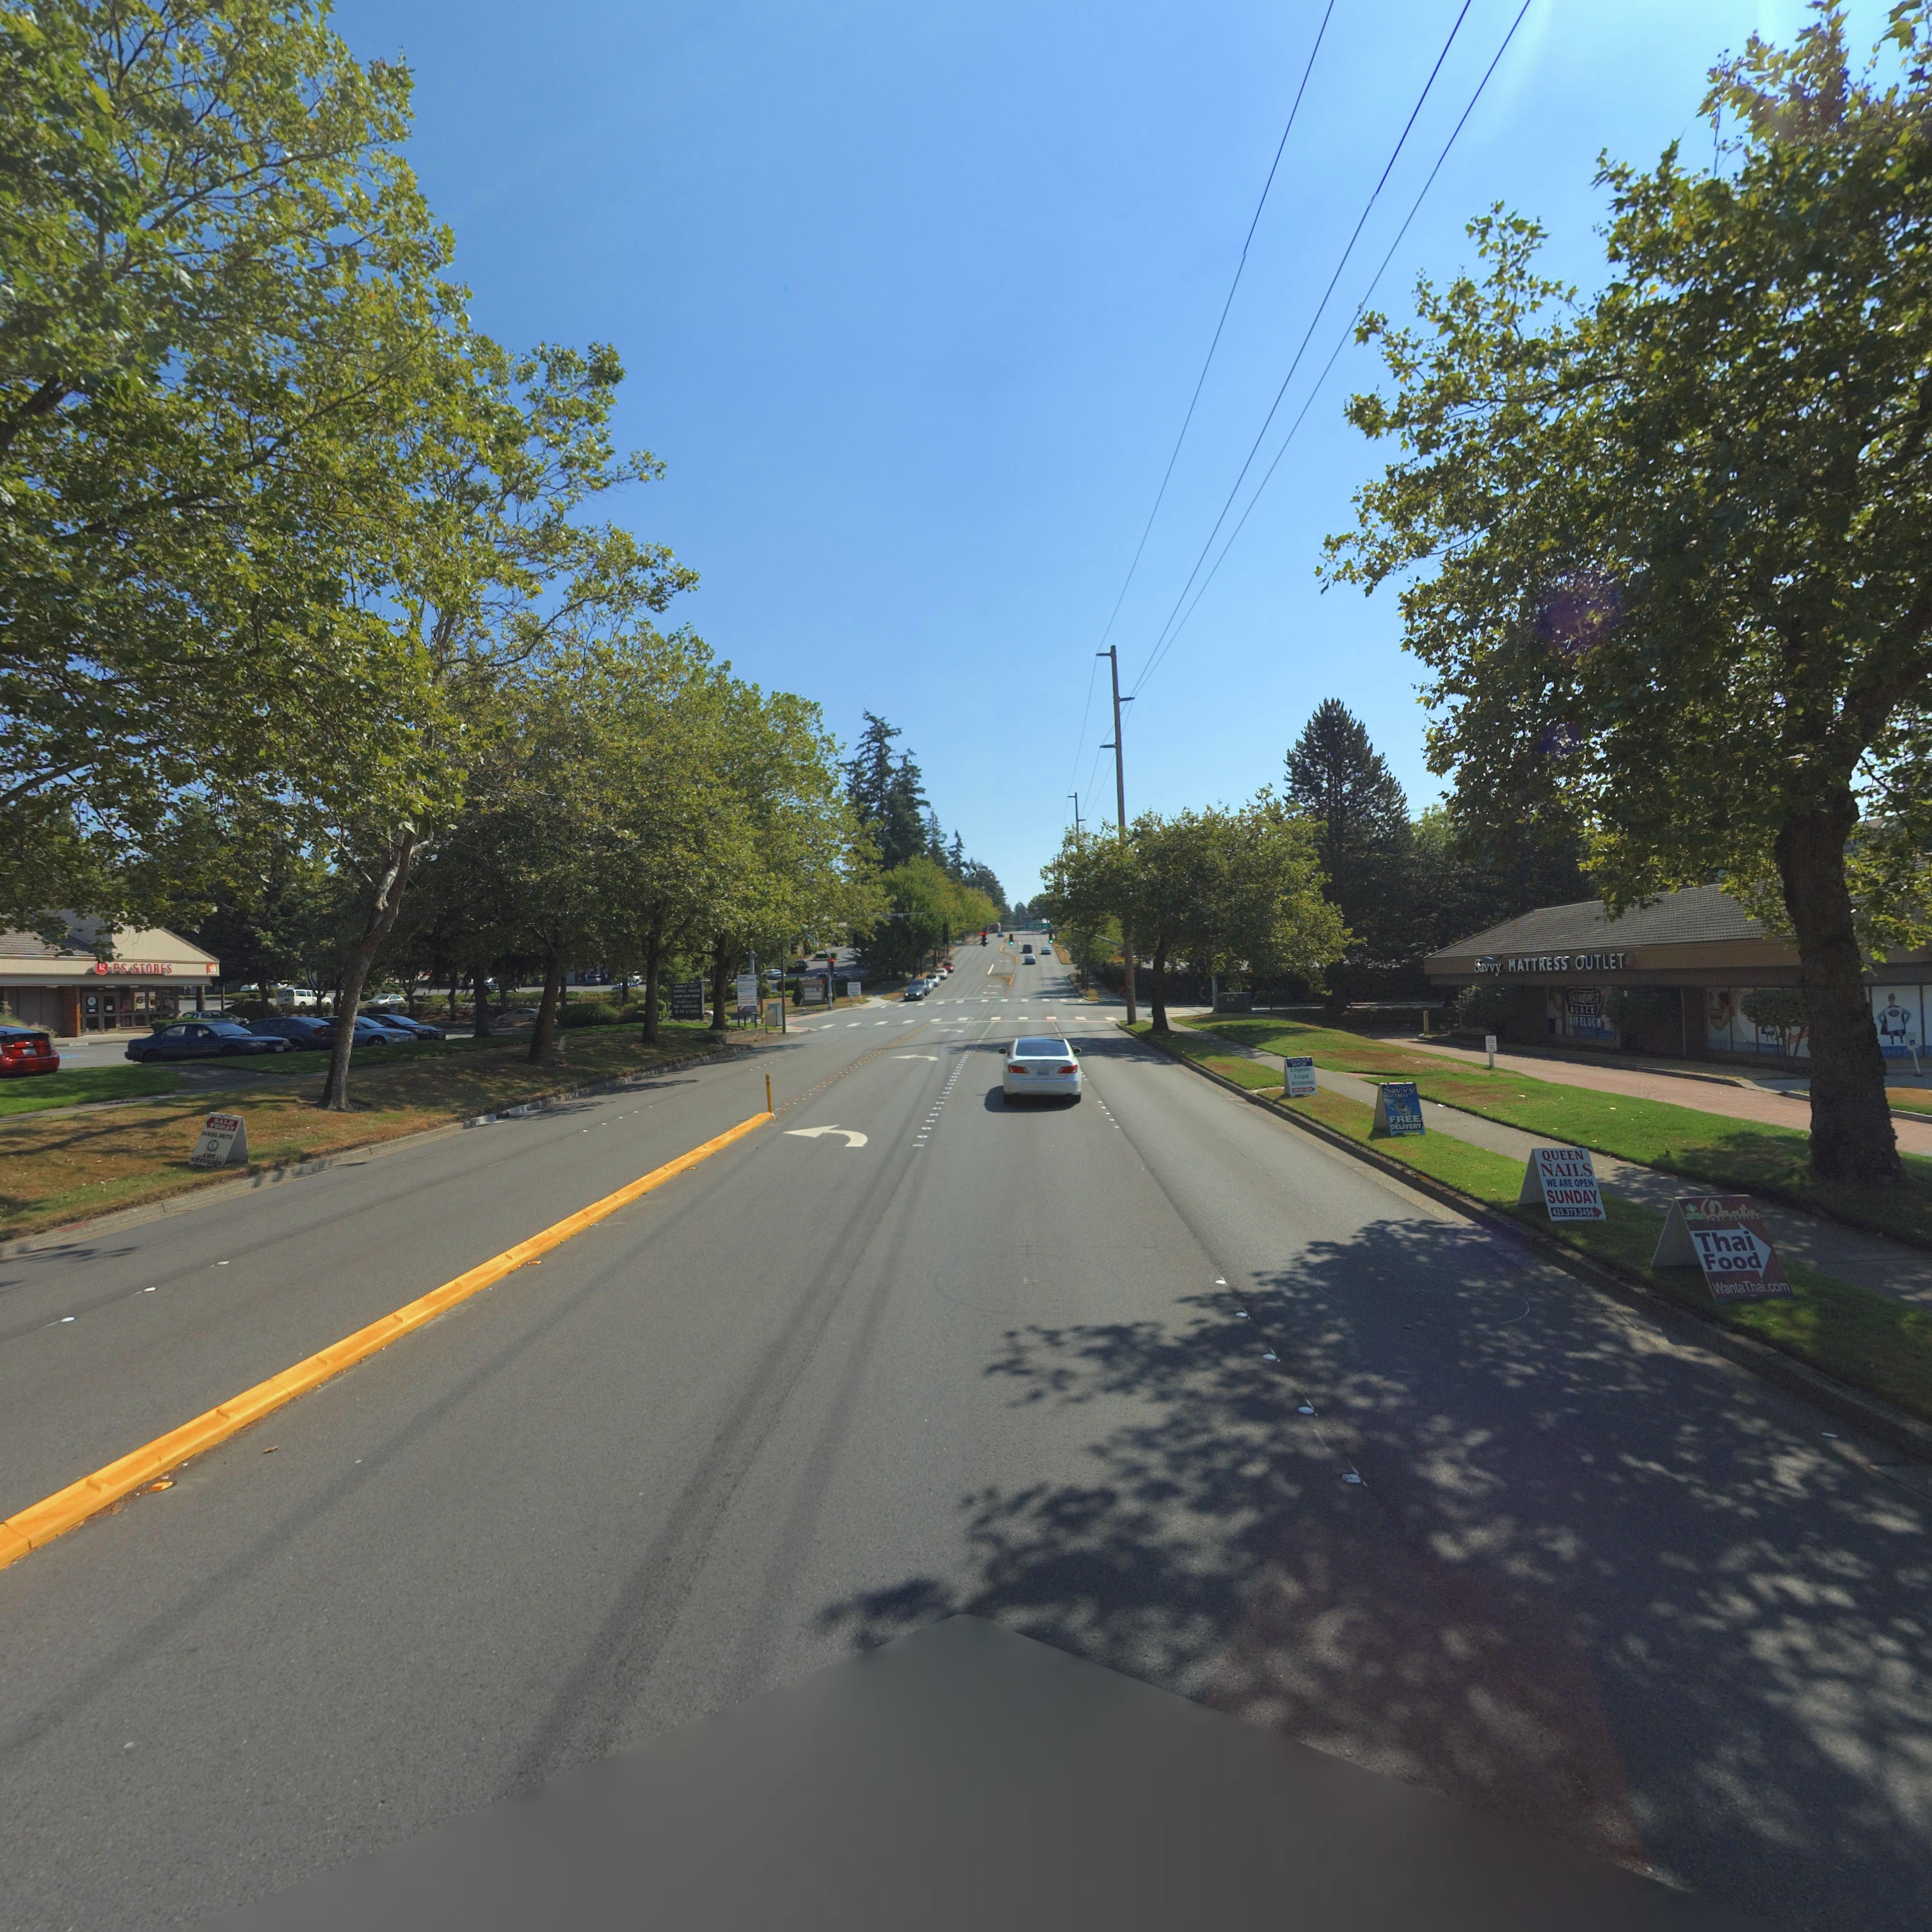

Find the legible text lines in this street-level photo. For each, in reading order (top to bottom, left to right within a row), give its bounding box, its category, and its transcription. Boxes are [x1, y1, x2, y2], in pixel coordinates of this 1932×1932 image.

[112, 960, 174, 975] BusinessName: PS STORES
[1473, 958, 1504, 977] BusinessName: Savvy
[1506, 951, 1627, 971] BusinessName: MATTRESS OUTLET
[1539, 1149, 1585, 1161] BusinessName: QUEEN
[1537, 1162, 1595, 1178] BusinessName: NAILS
[1699, 1195, 1760, 1219] BusinessName: Wanta
[1691, 1229, 1757, 1253] BusinessName: THAI
[1700, 1250, 1764, 1270] BusinessName: FOOD